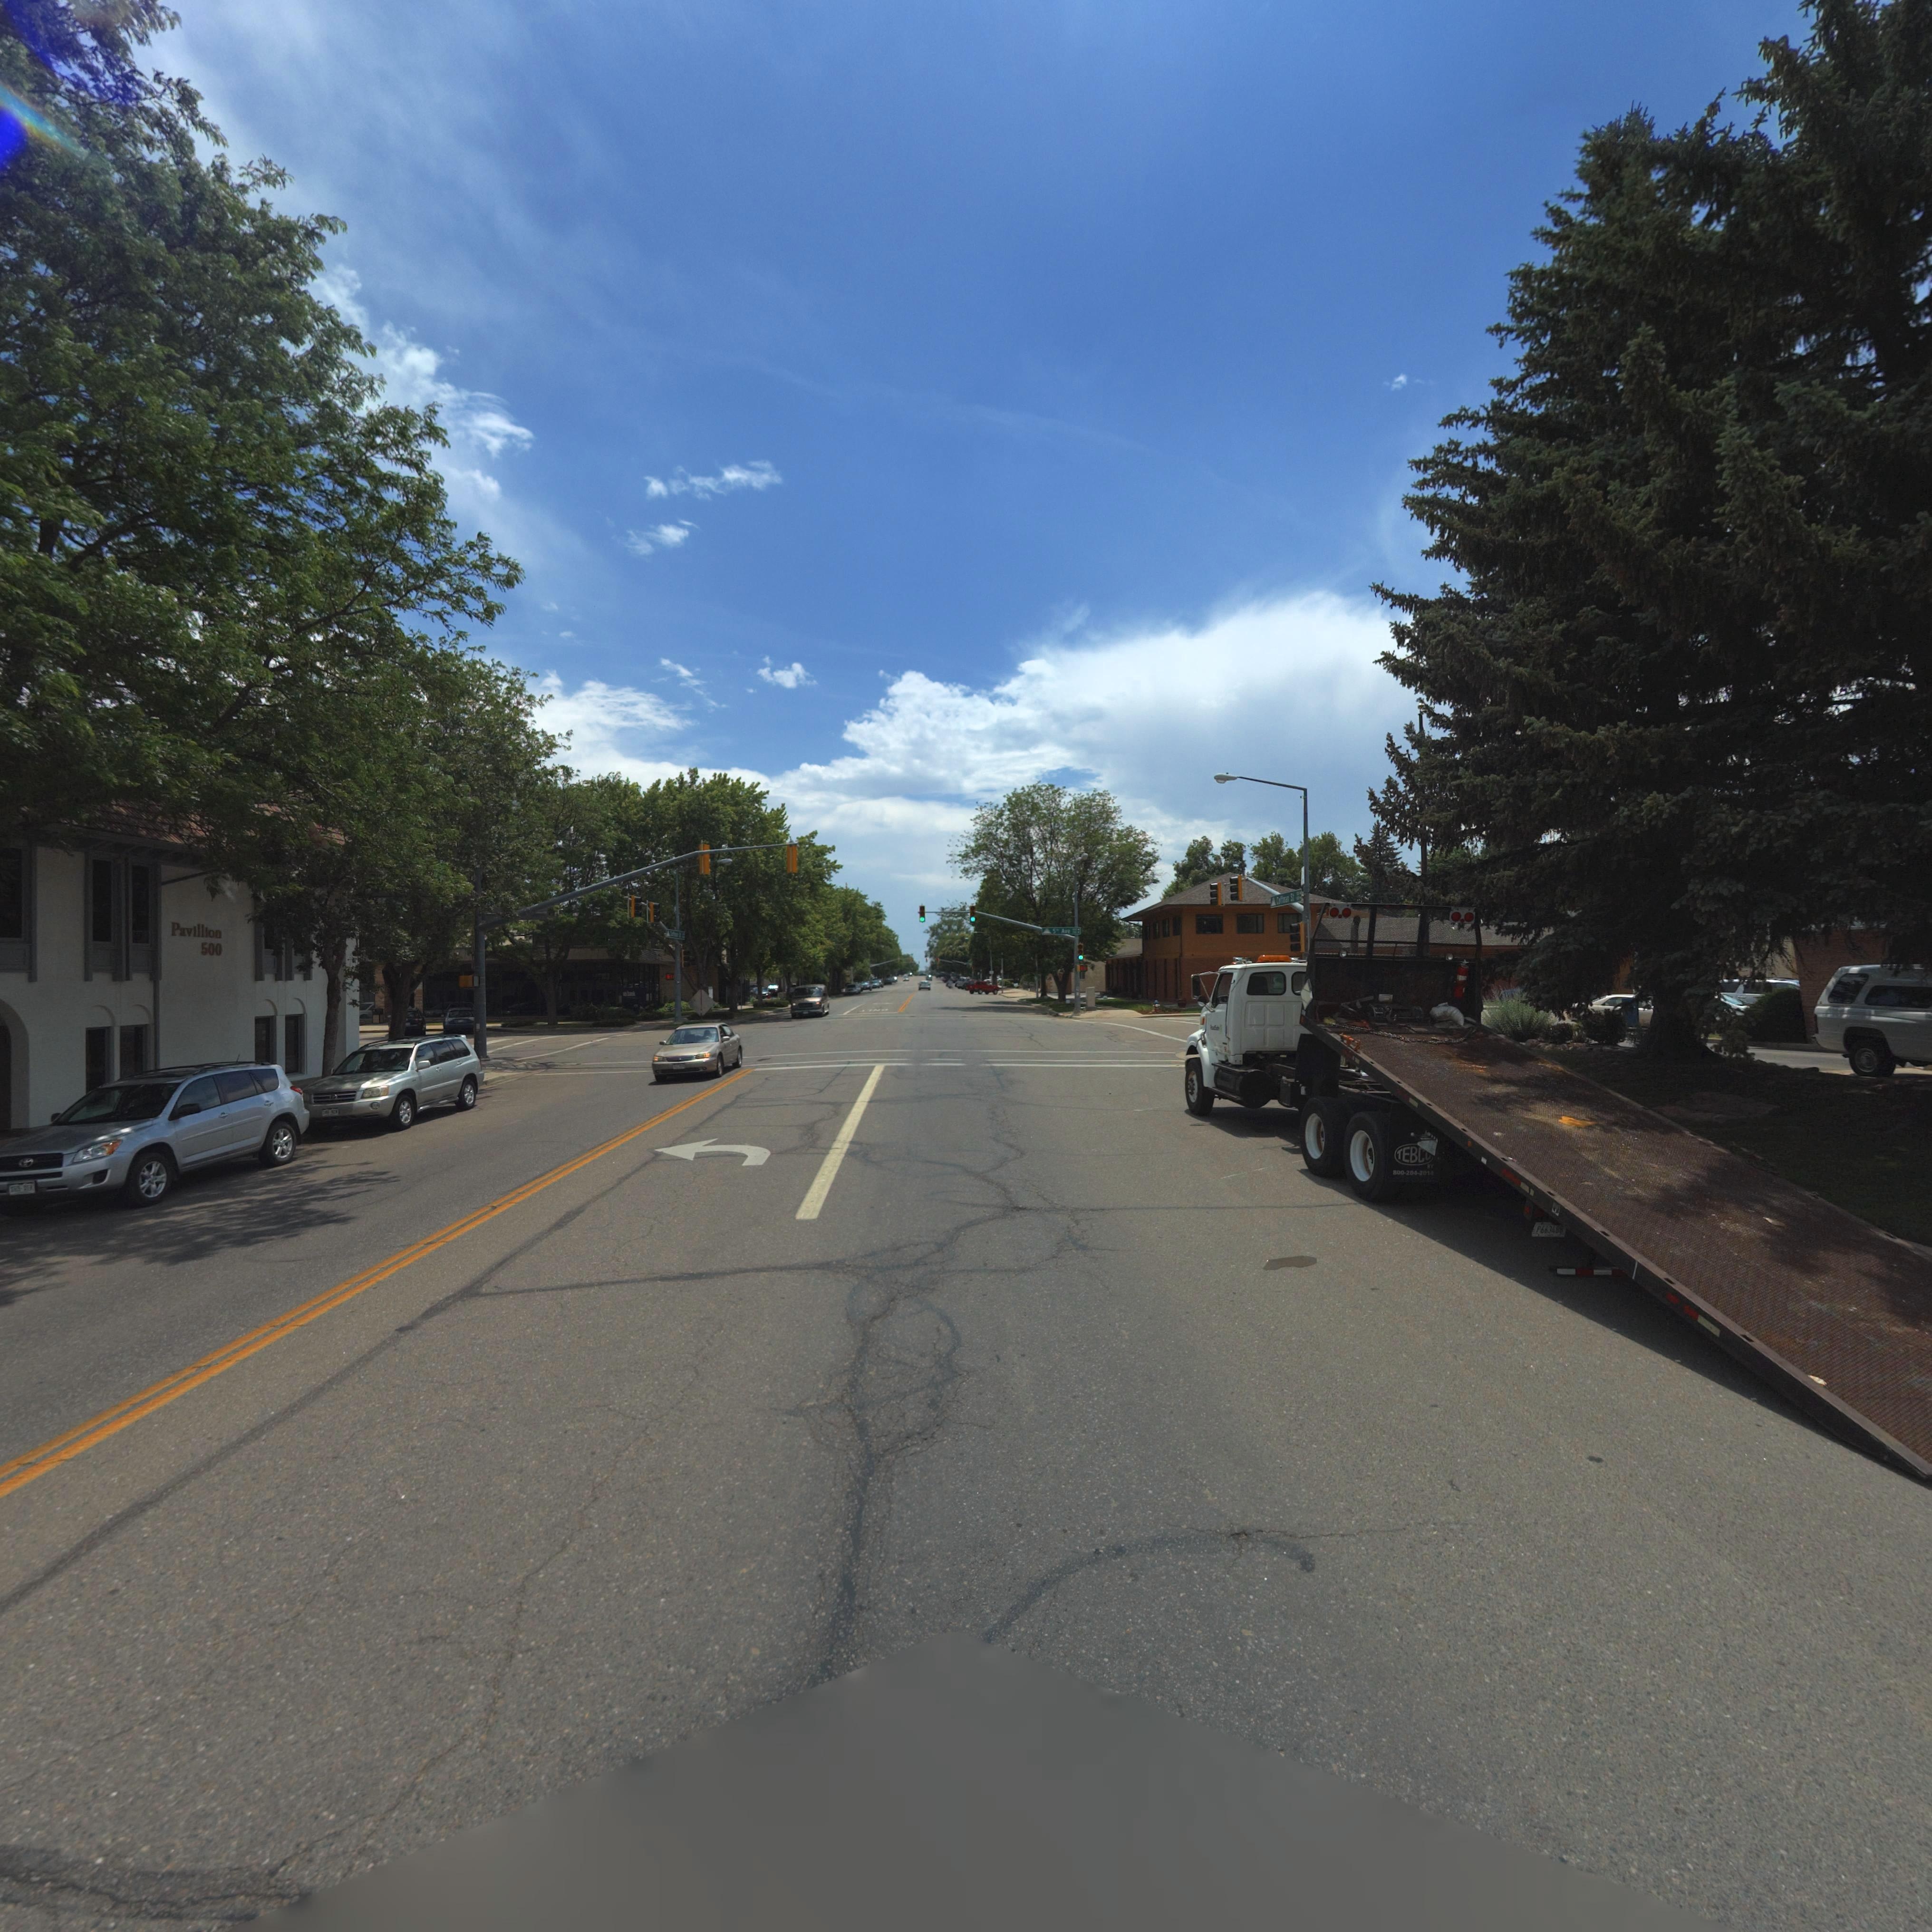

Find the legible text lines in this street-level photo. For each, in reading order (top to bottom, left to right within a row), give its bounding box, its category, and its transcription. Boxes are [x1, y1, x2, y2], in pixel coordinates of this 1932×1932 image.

[1276, 892, 1294, 905] StreetName: C****** St
[1053, 928, 1070, 933] StreetName: 5th Ave
[201, 942, 222, 956] StreetNumber: 500